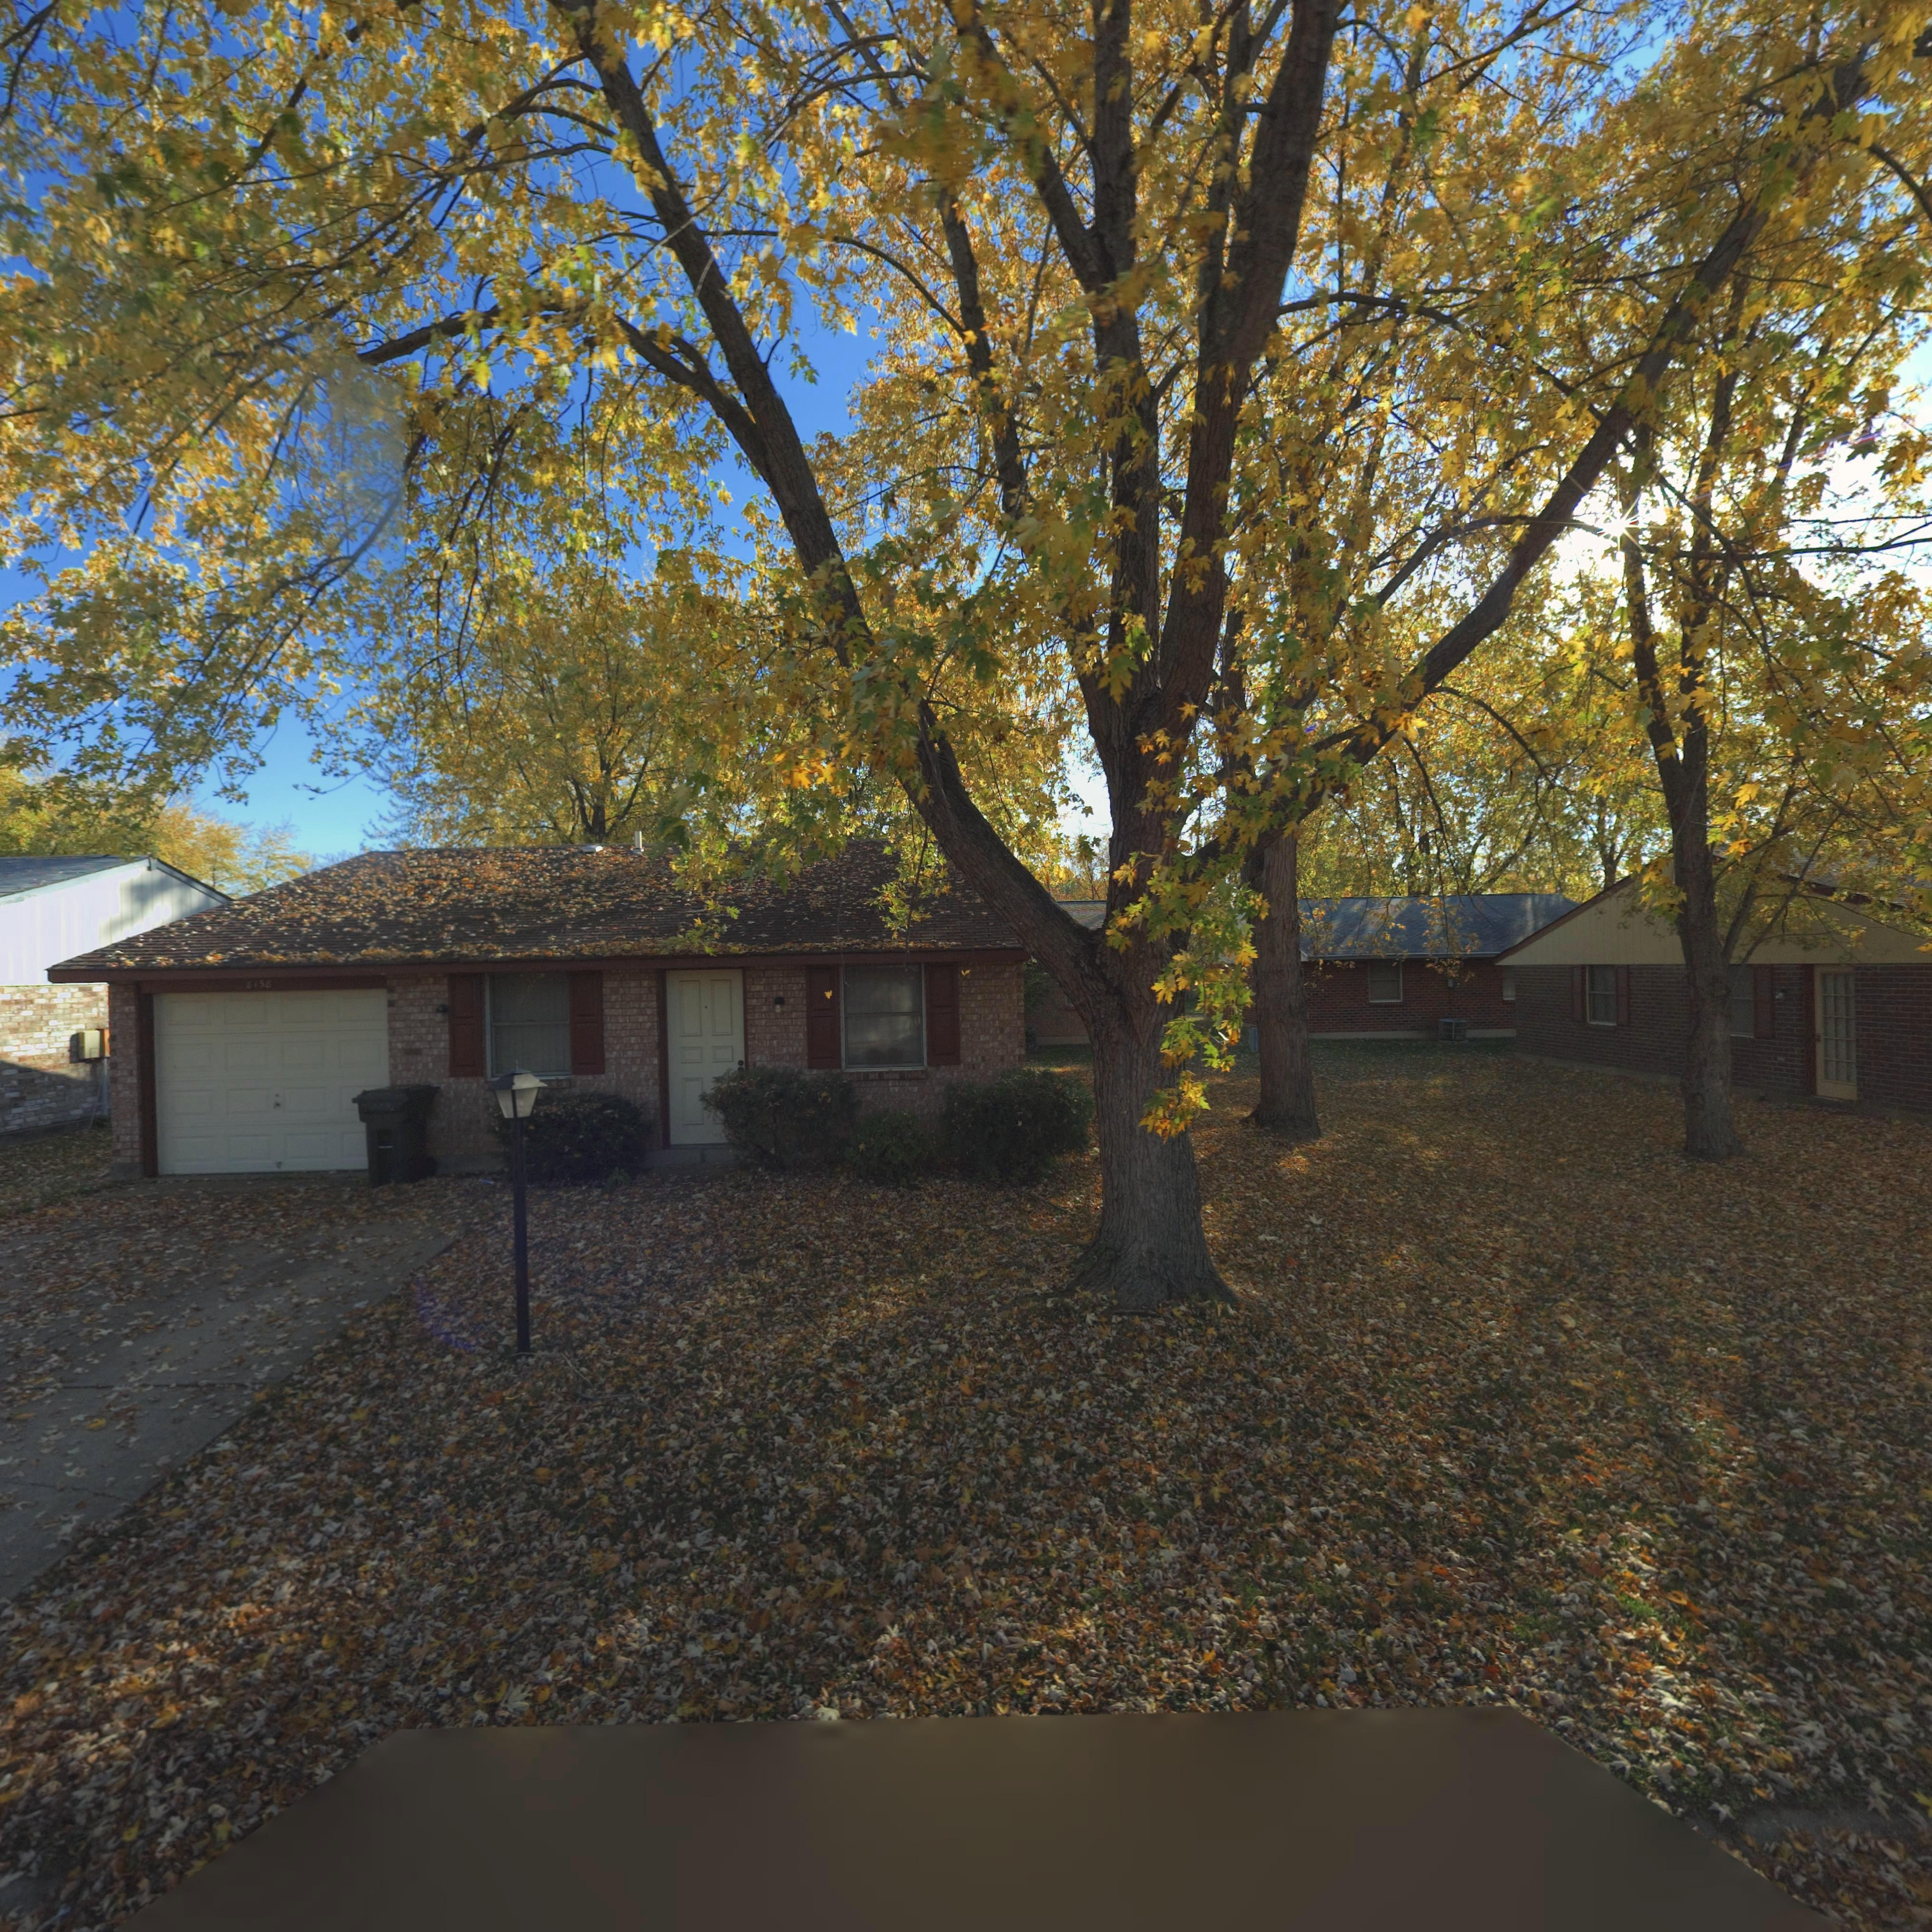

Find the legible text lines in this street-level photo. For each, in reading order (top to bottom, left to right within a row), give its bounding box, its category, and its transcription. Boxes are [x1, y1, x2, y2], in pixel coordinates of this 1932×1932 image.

[245, 979, 272, 990] StreetNumber: 8158